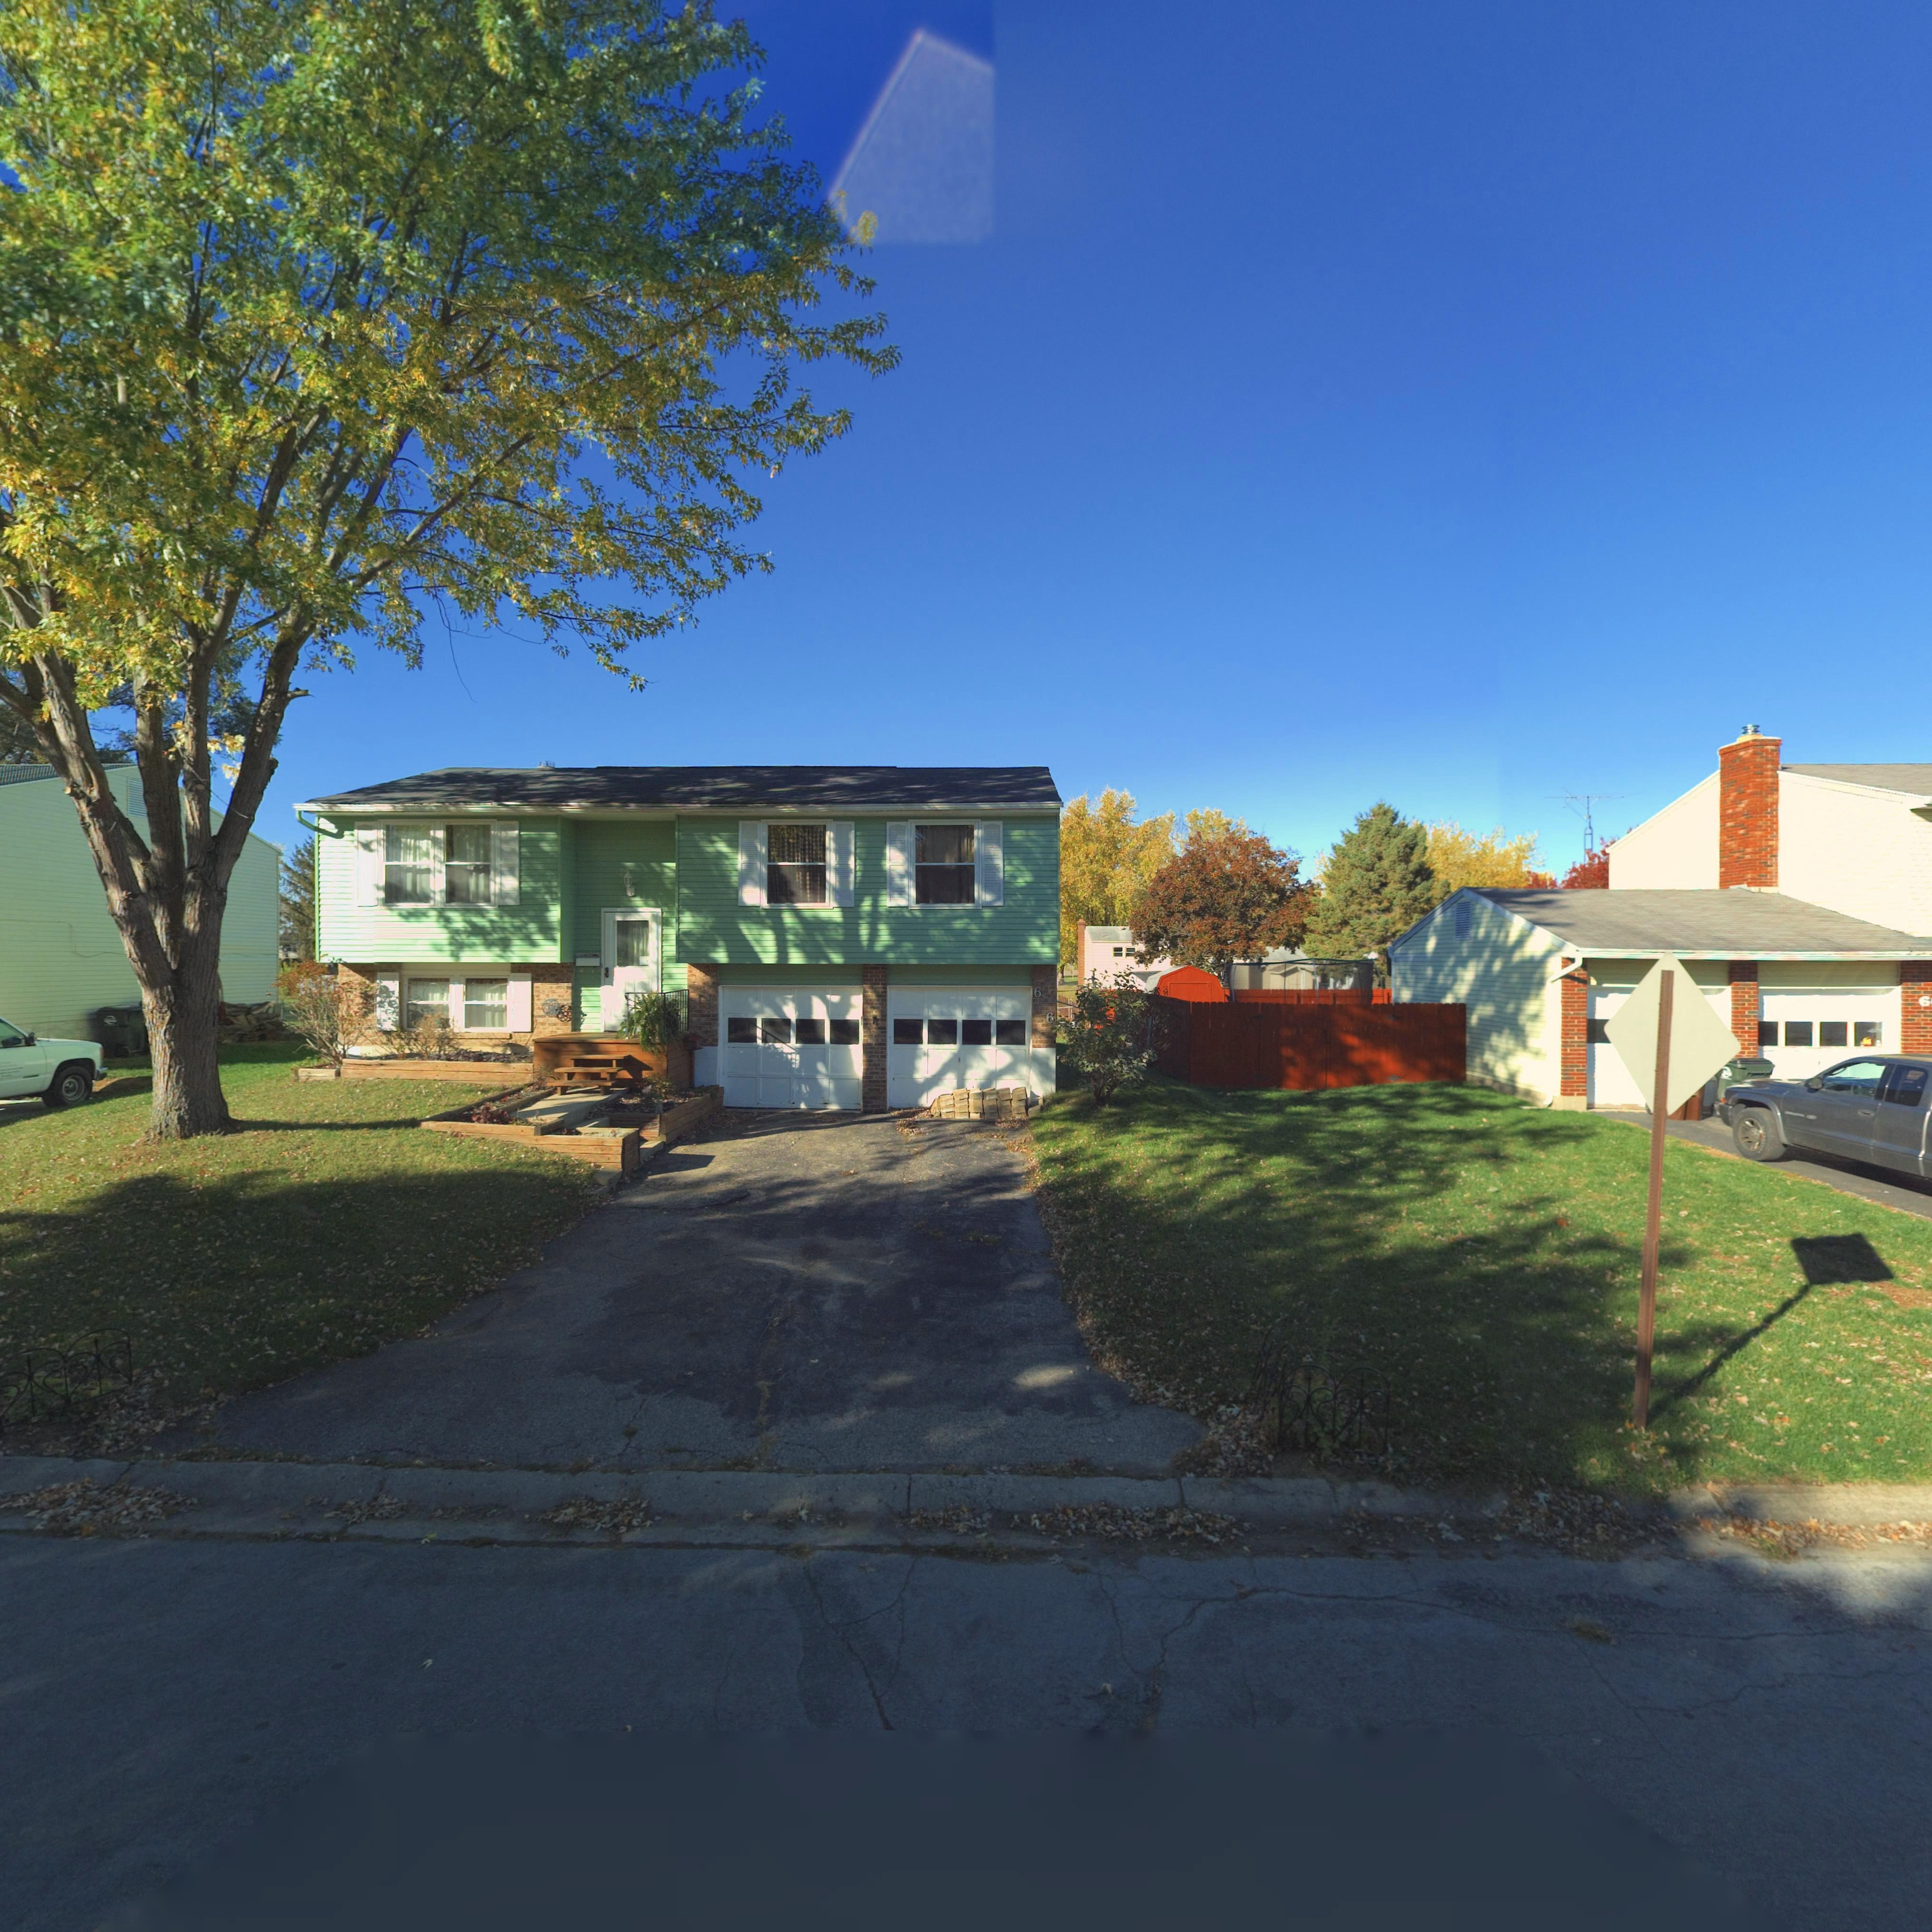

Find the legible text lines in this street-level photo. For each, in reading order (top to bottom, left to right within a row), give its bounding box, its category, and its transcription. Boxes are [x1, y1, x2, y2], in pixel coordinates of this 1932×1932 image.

[1034, 986, 1055, 1024] StreetNumber: 6*6